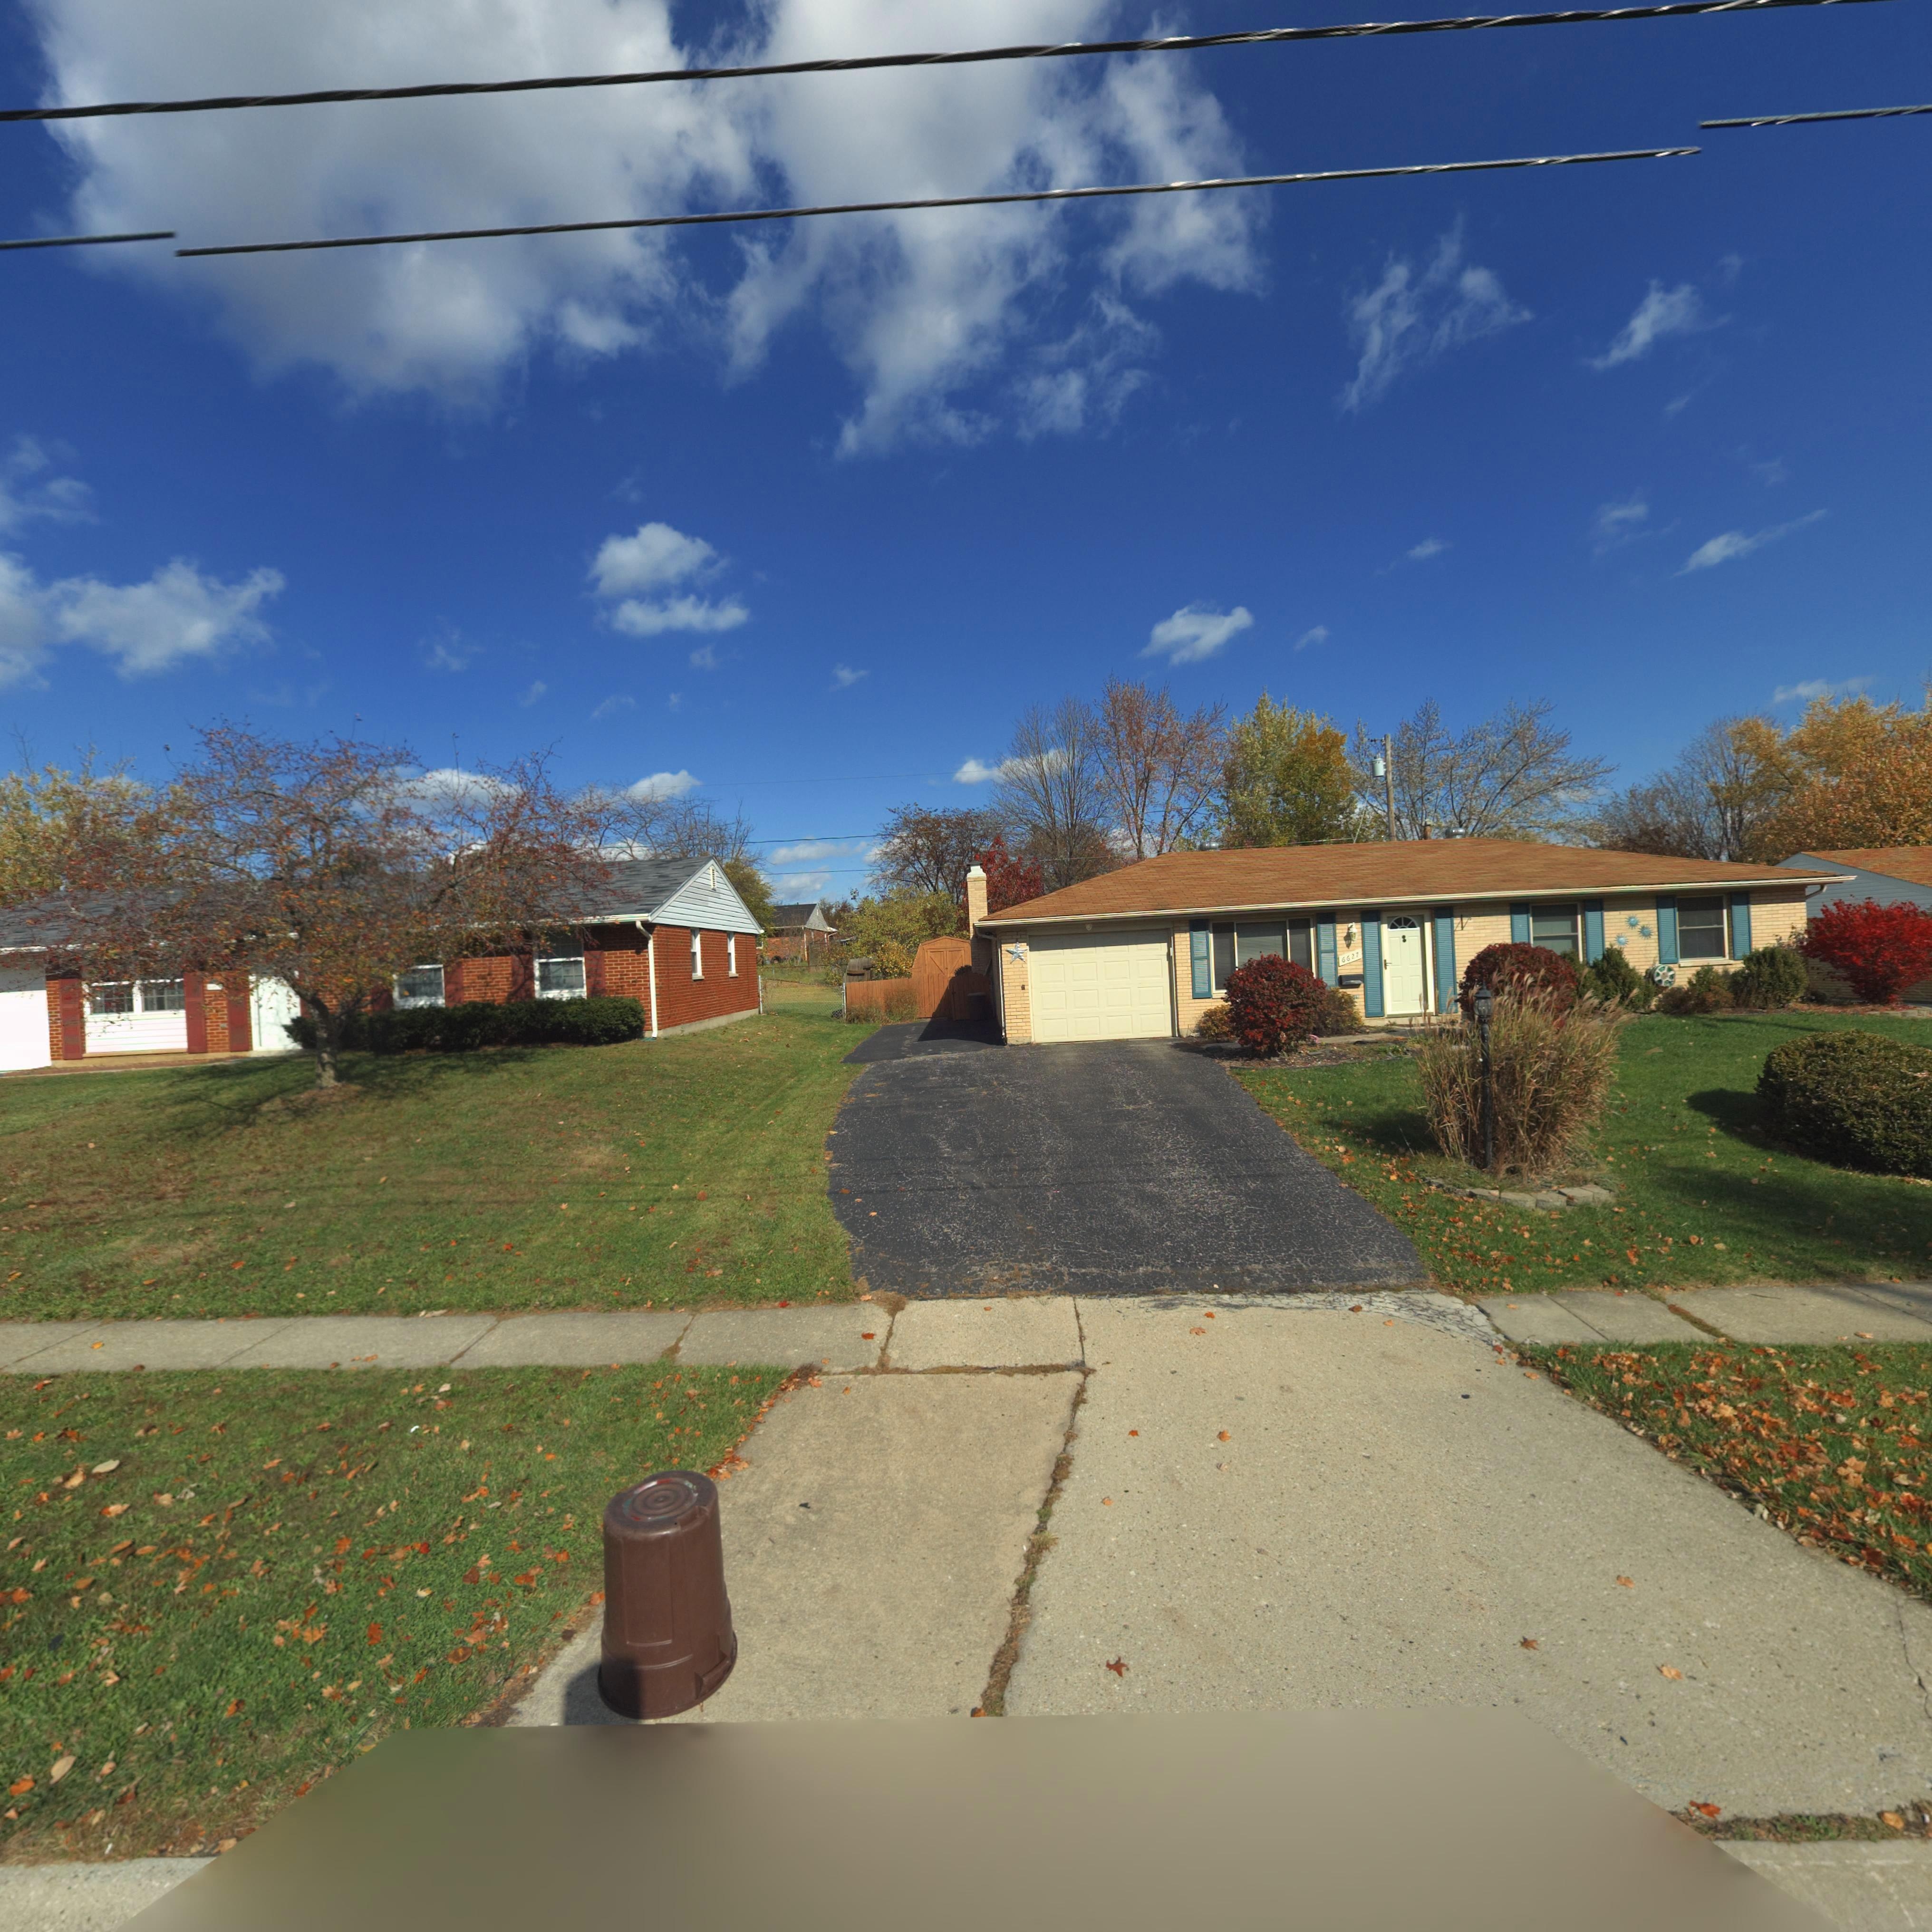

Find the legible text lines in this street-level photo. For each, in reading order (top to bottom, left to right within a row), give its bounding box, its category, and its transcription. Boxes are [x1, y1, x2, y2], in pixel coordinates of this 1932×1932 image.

[1341, 951, 1359, 963] StreetNumber: 6627